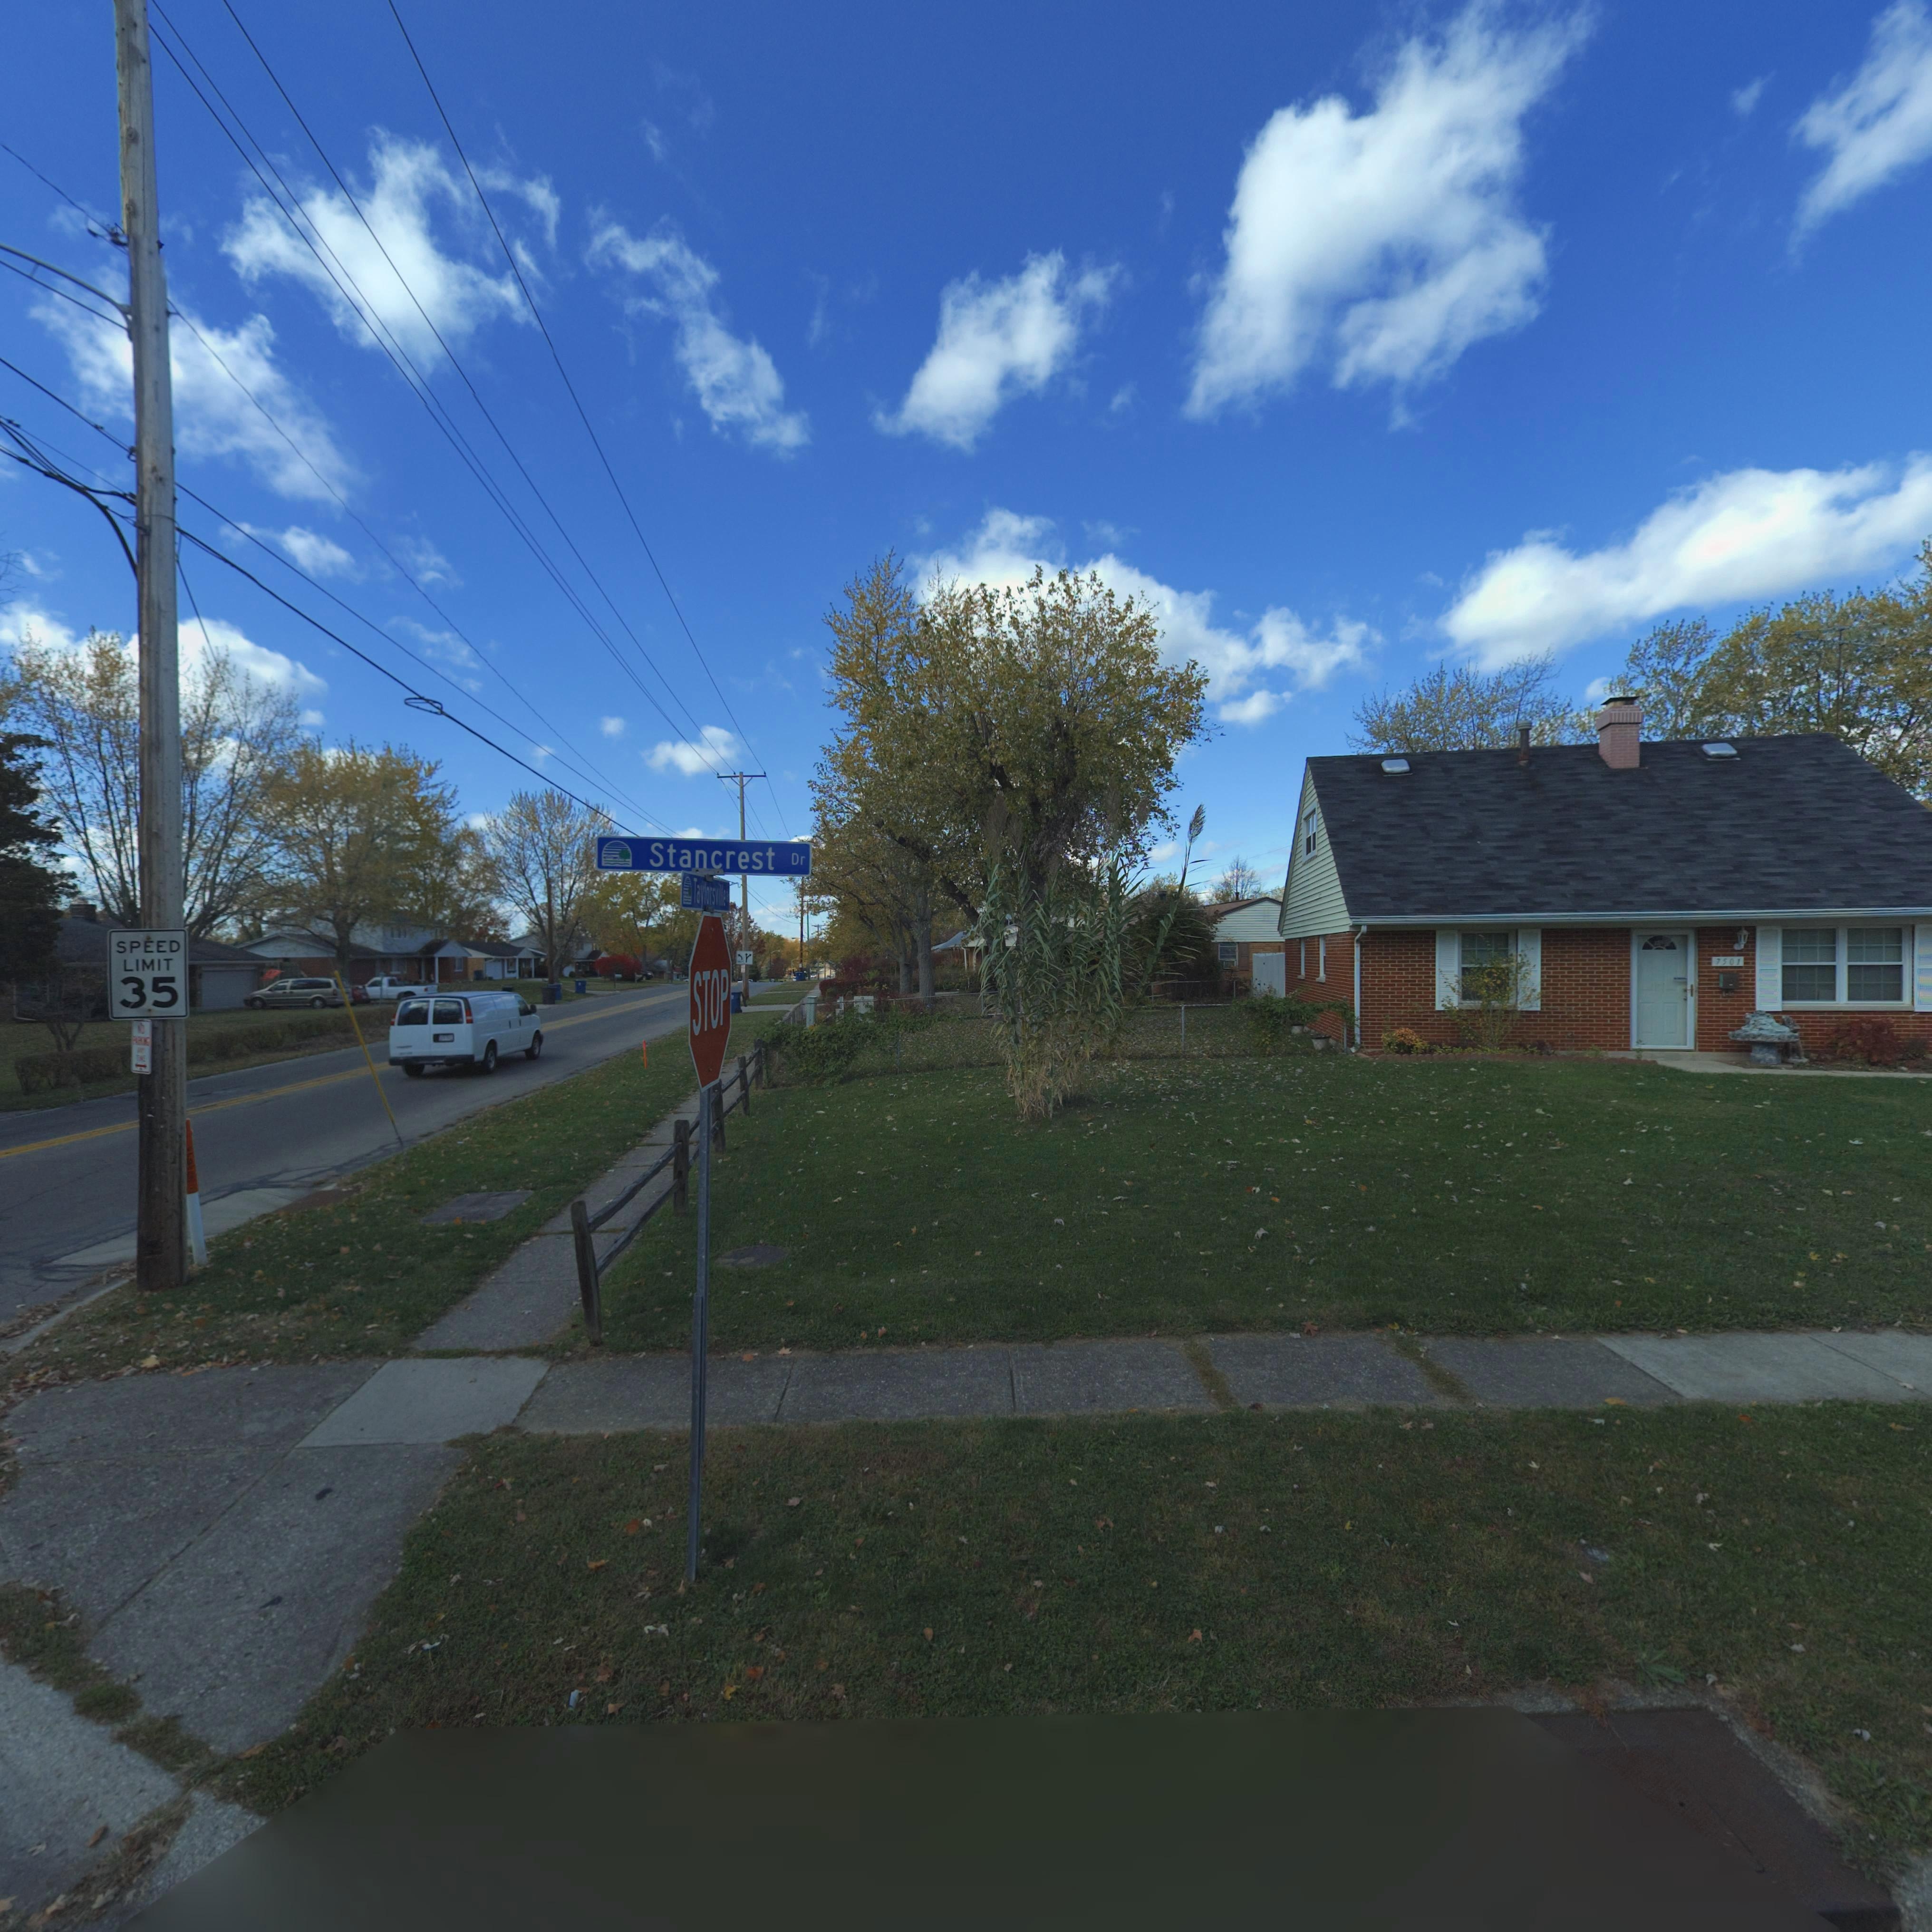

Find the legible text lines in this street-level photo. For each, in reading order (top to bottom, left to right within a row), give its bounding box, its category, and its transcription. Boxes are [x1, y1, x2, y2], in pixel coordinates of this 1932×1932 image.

[648, 841, 807, 872] StreetName: Stancrest Dr
[692, 877, 726, 910] StreetName: Taylorsville
[1715, 957, 1740, 966] StreetNumber: 7501